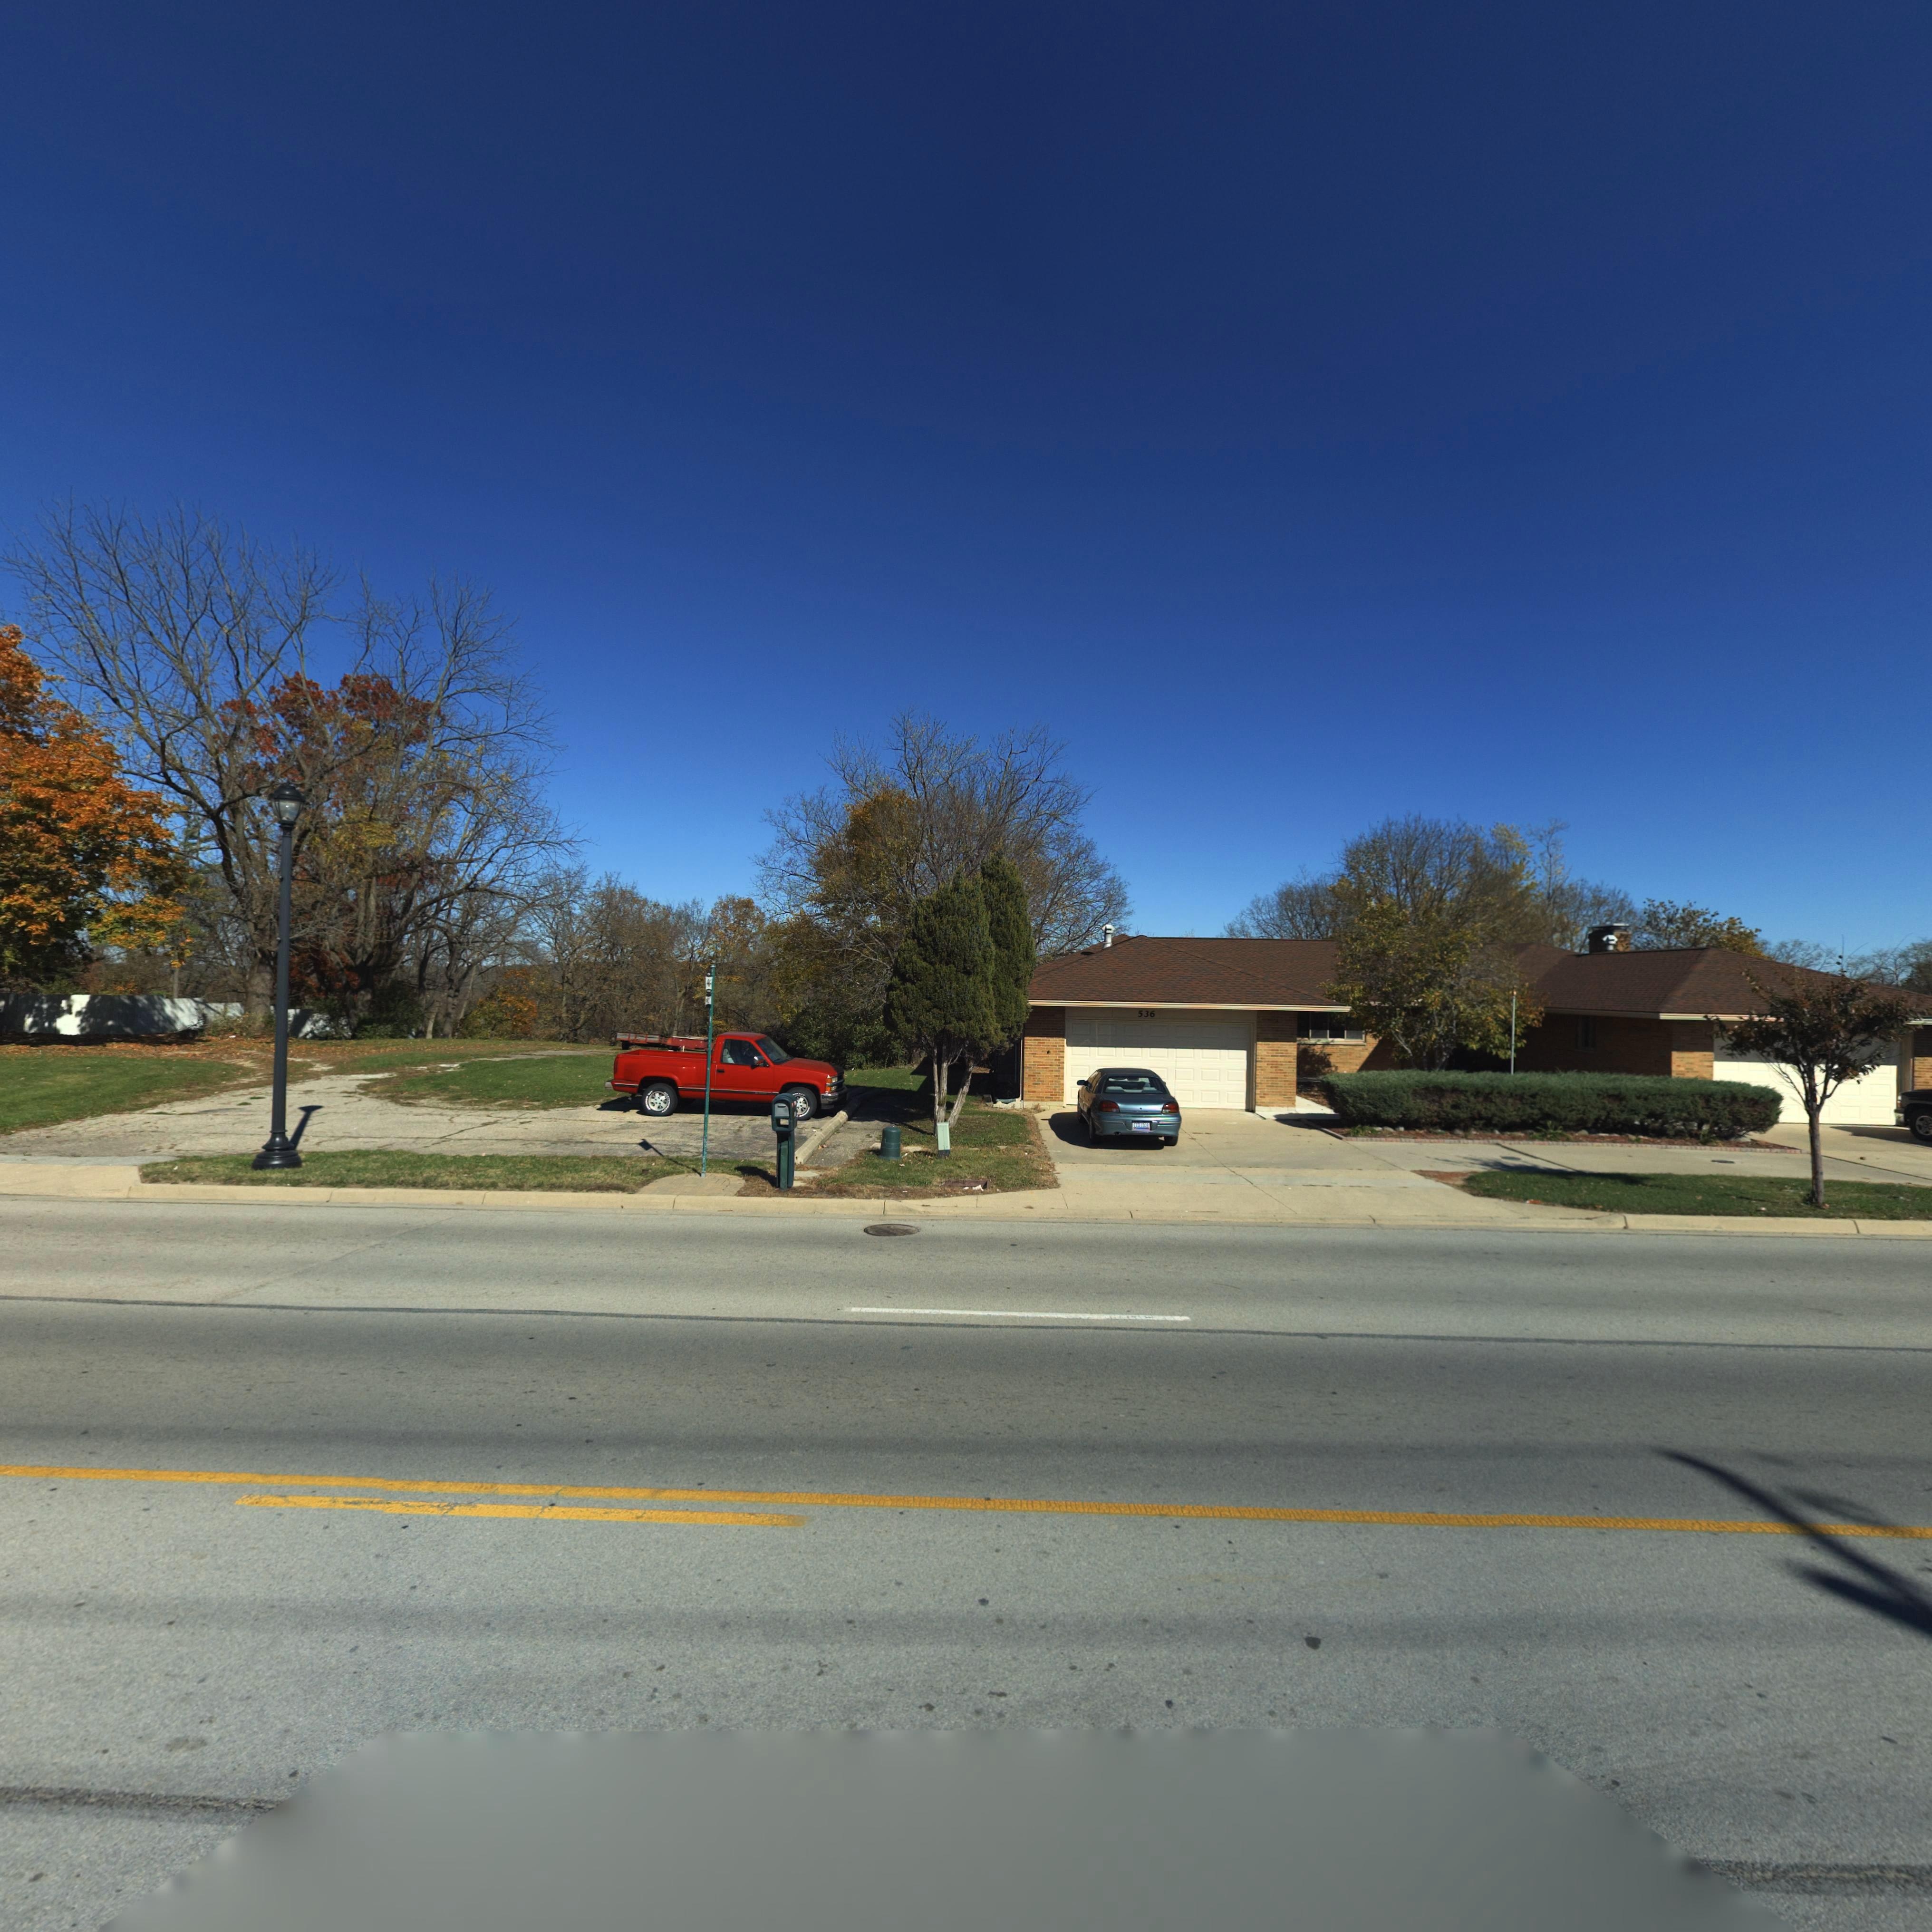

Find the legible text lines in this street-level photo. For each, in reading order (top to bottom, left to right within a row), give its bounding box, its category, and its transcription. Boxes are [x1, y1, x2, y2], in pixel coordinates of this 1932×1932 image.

[1137, 1009, 1157, 1019] StreetNumber: 536